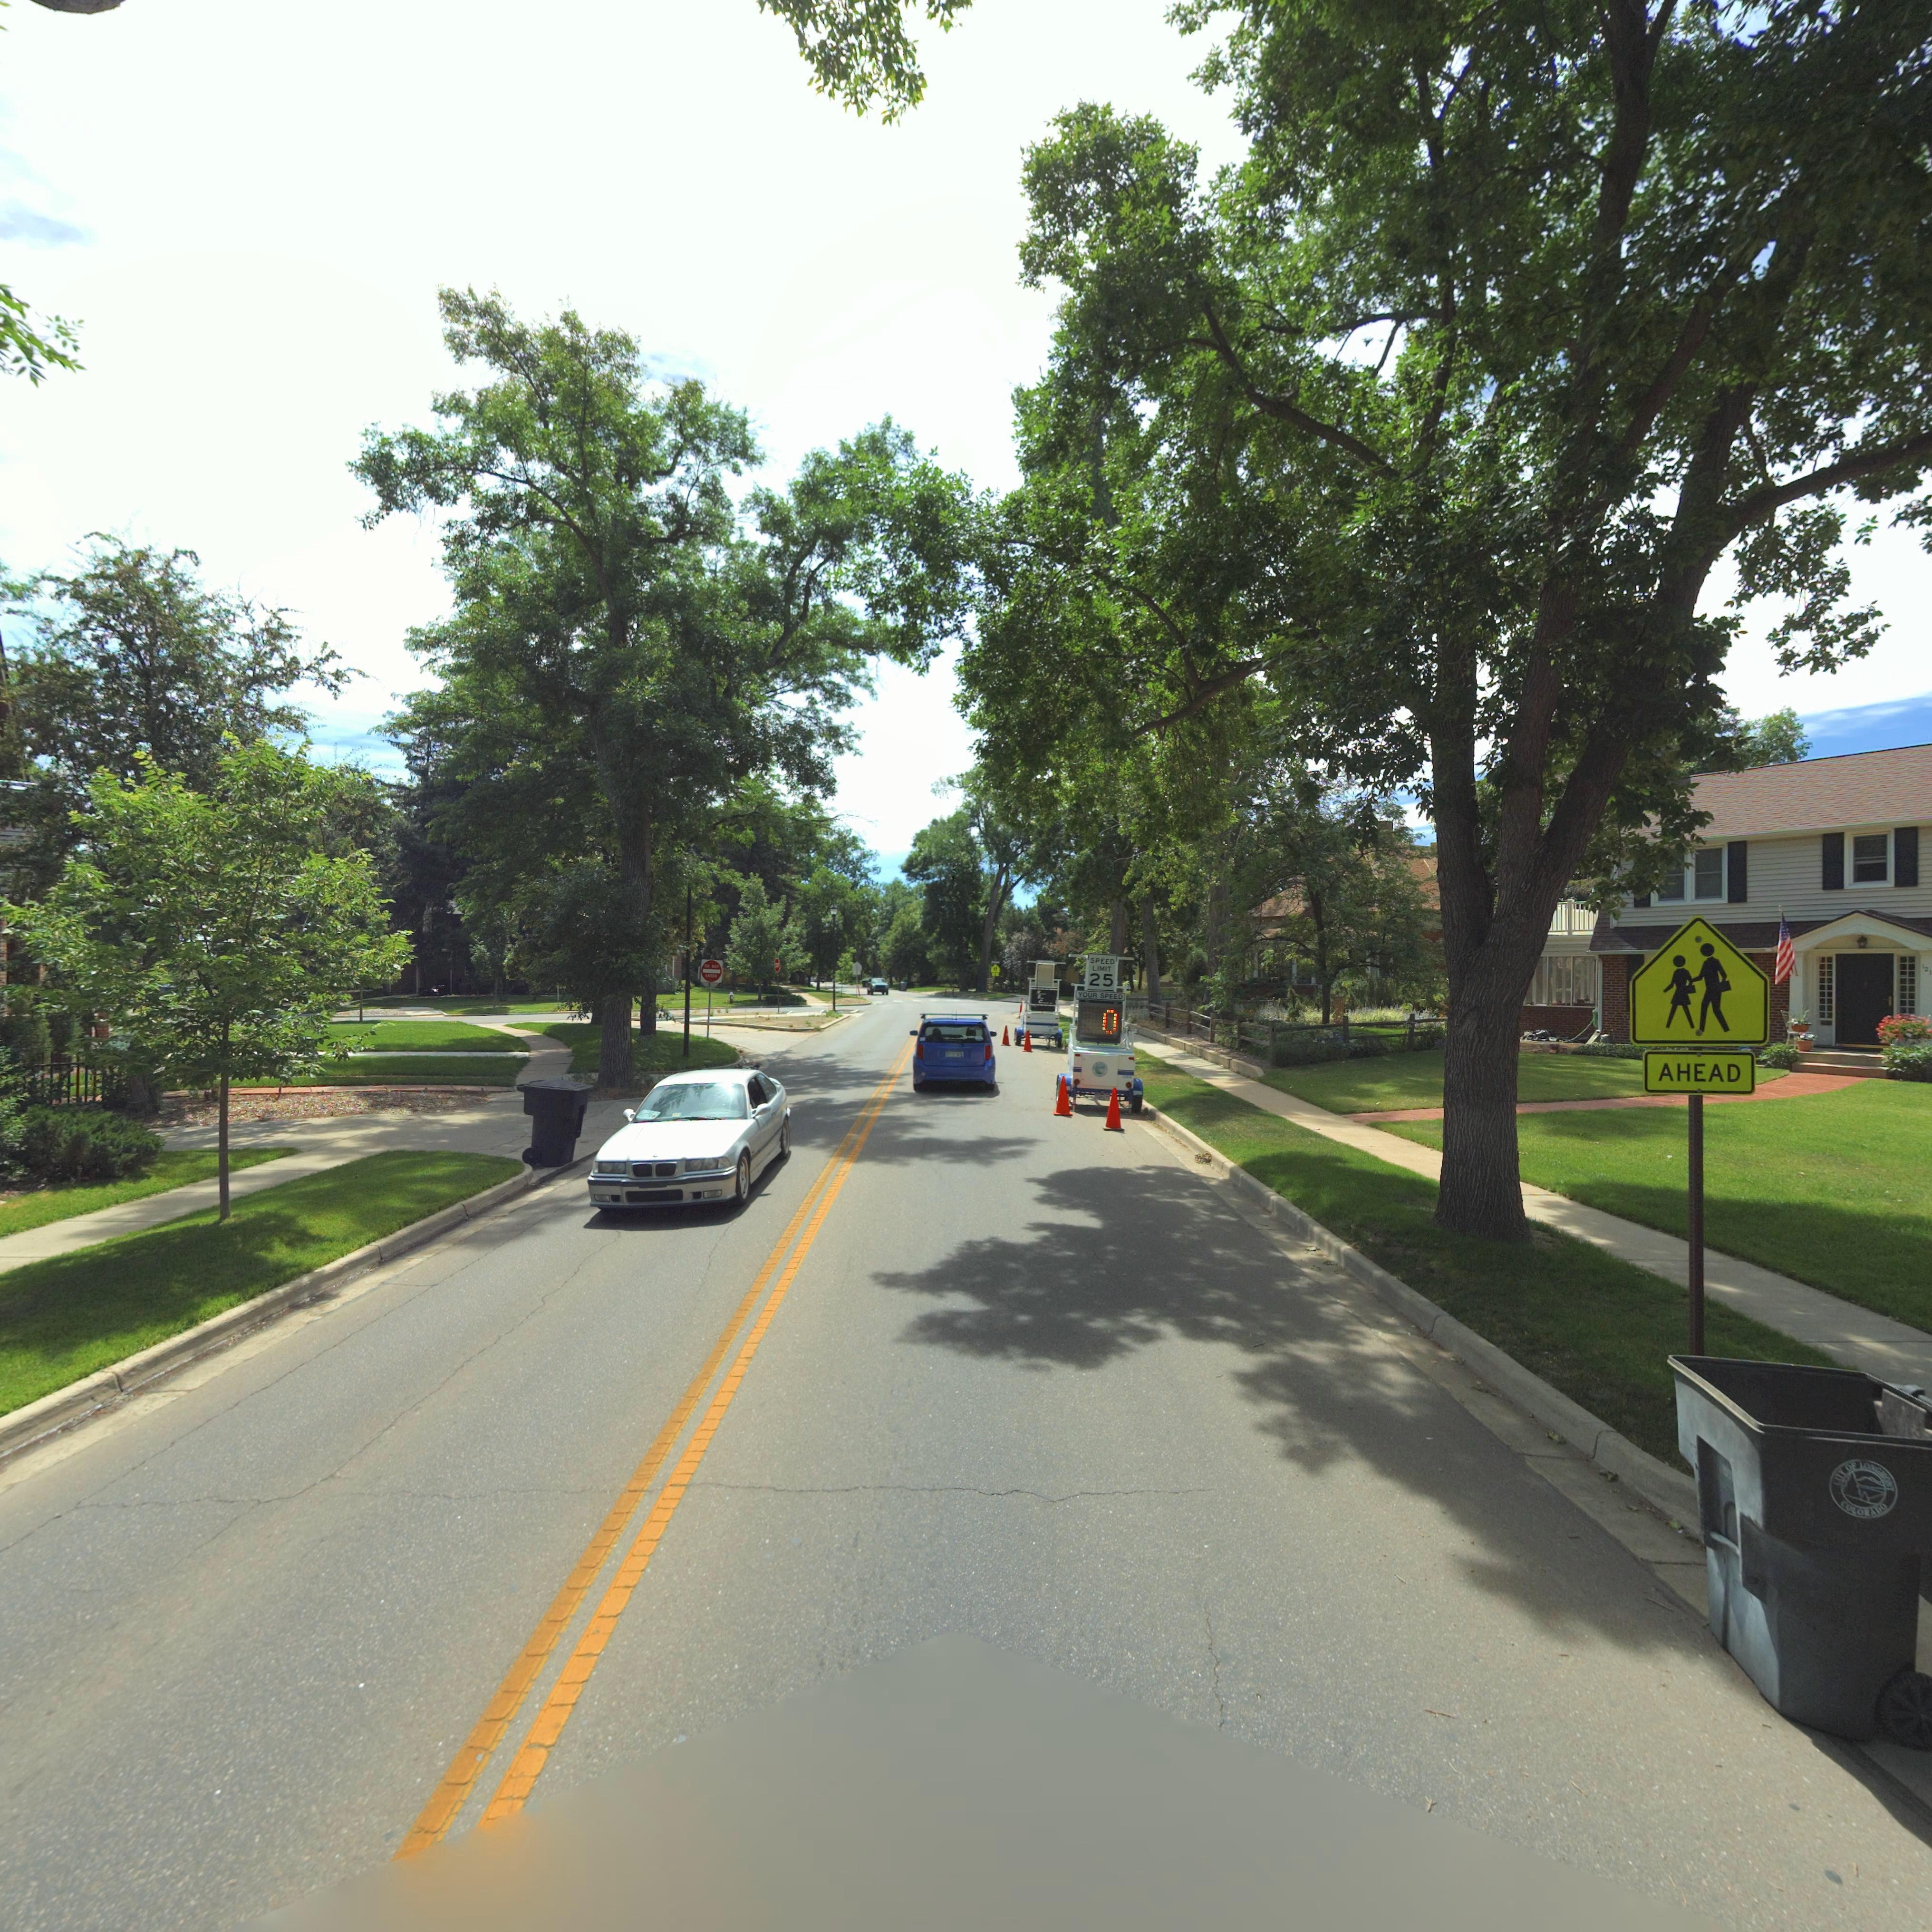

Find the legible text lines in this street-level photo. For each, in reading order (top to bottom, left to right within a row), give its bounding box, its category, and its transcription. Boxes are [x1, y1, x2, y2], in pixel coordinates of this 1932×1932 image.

[1922, 964, 1931, 975] StreetNumber: 121